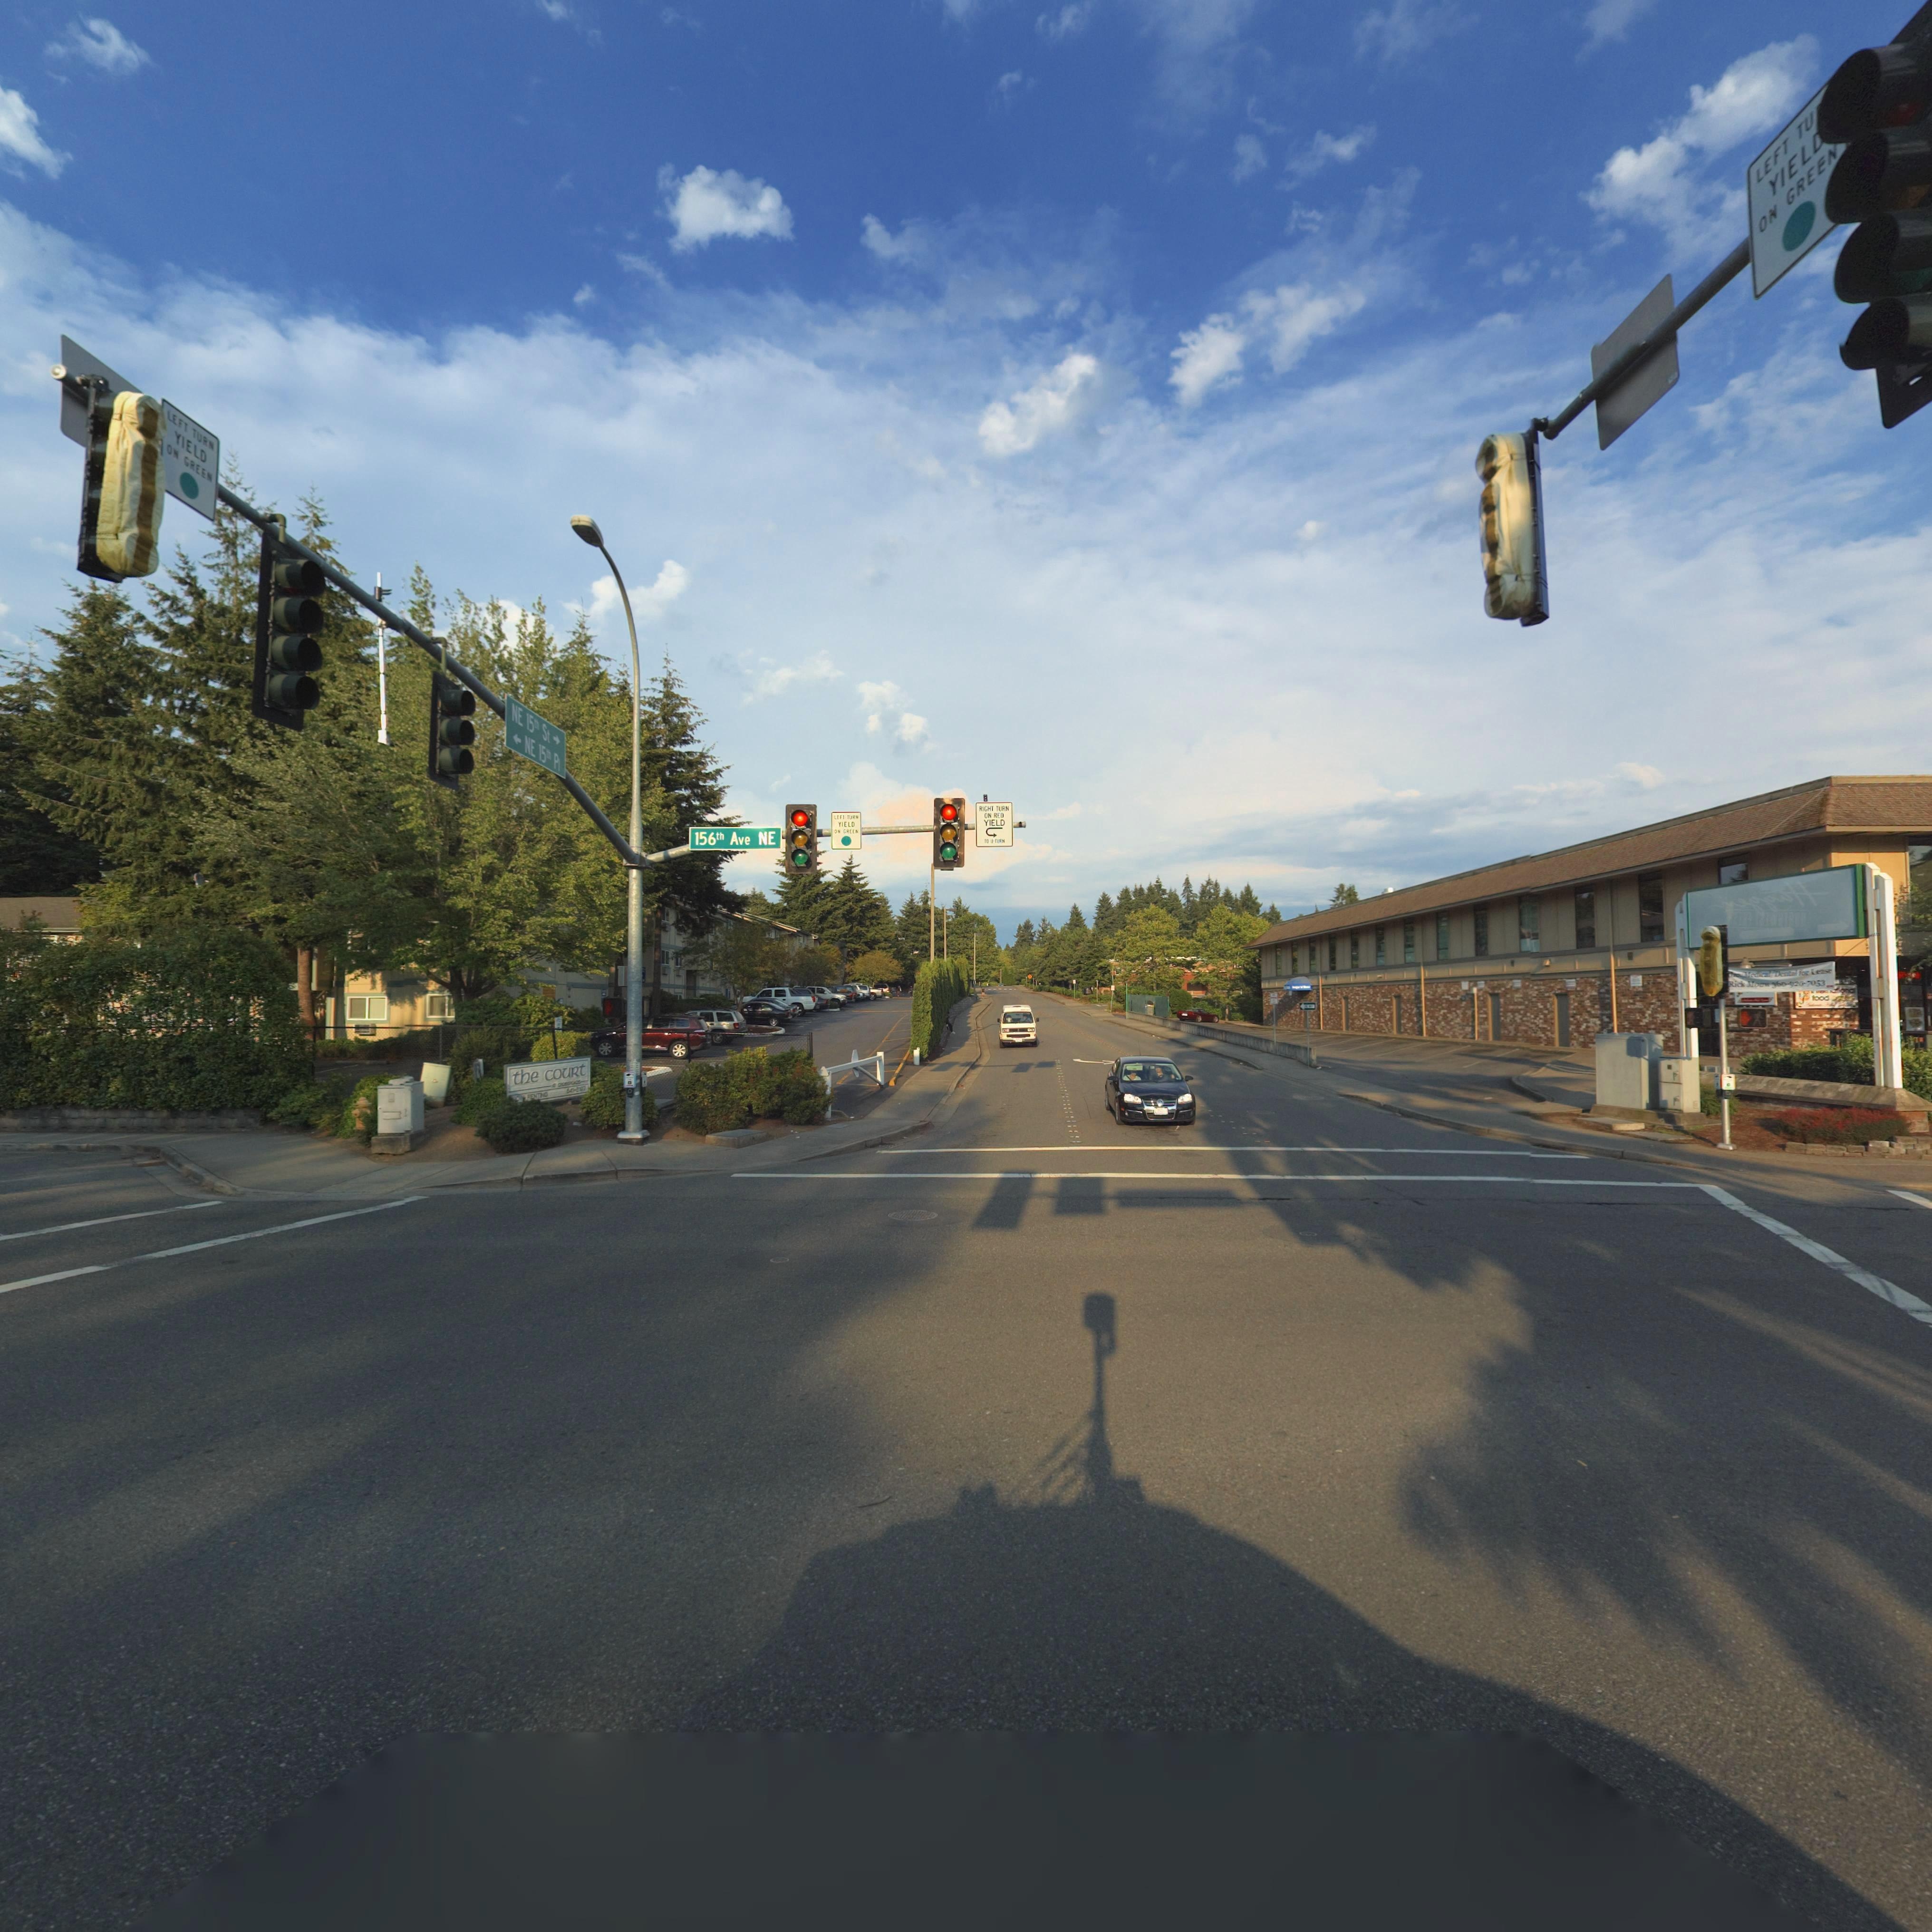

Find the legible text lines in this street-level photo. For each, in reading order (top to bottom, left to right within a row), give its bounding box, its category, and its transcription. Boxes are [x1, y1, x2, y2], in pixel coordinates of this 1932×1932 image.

[512, 702, 552, 745] StreetName: NE 15** St
[524, 734, 560, 773] StreetName: NE 15** Pl
[694, 831, 776, 845] StreetName: 156th Ave NE